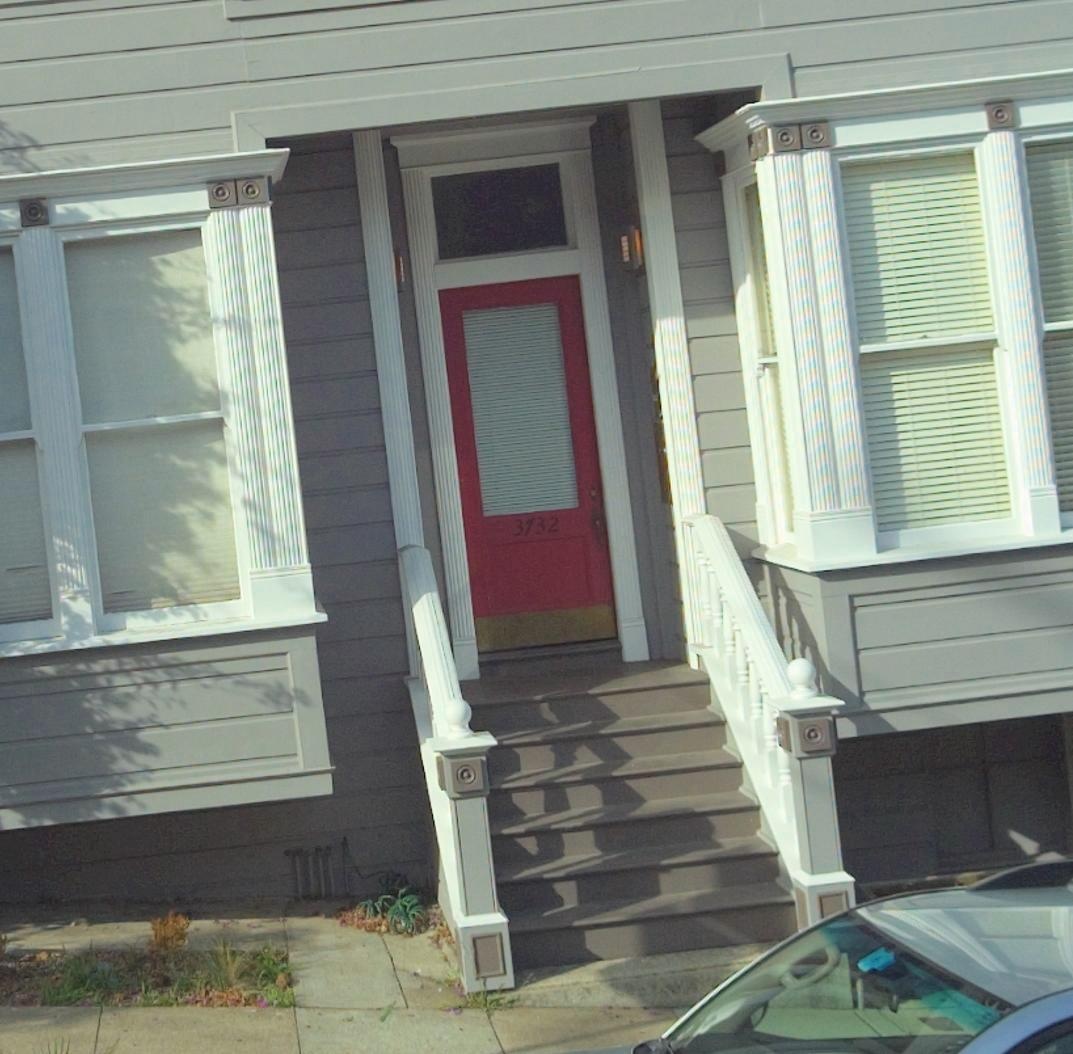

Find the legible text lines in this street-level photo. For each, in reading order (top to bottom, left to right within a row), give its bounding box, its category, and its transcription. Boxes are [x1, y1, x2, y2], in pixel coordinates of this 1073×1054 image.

[512, 515, 559, 537] StreetNumber: 3732